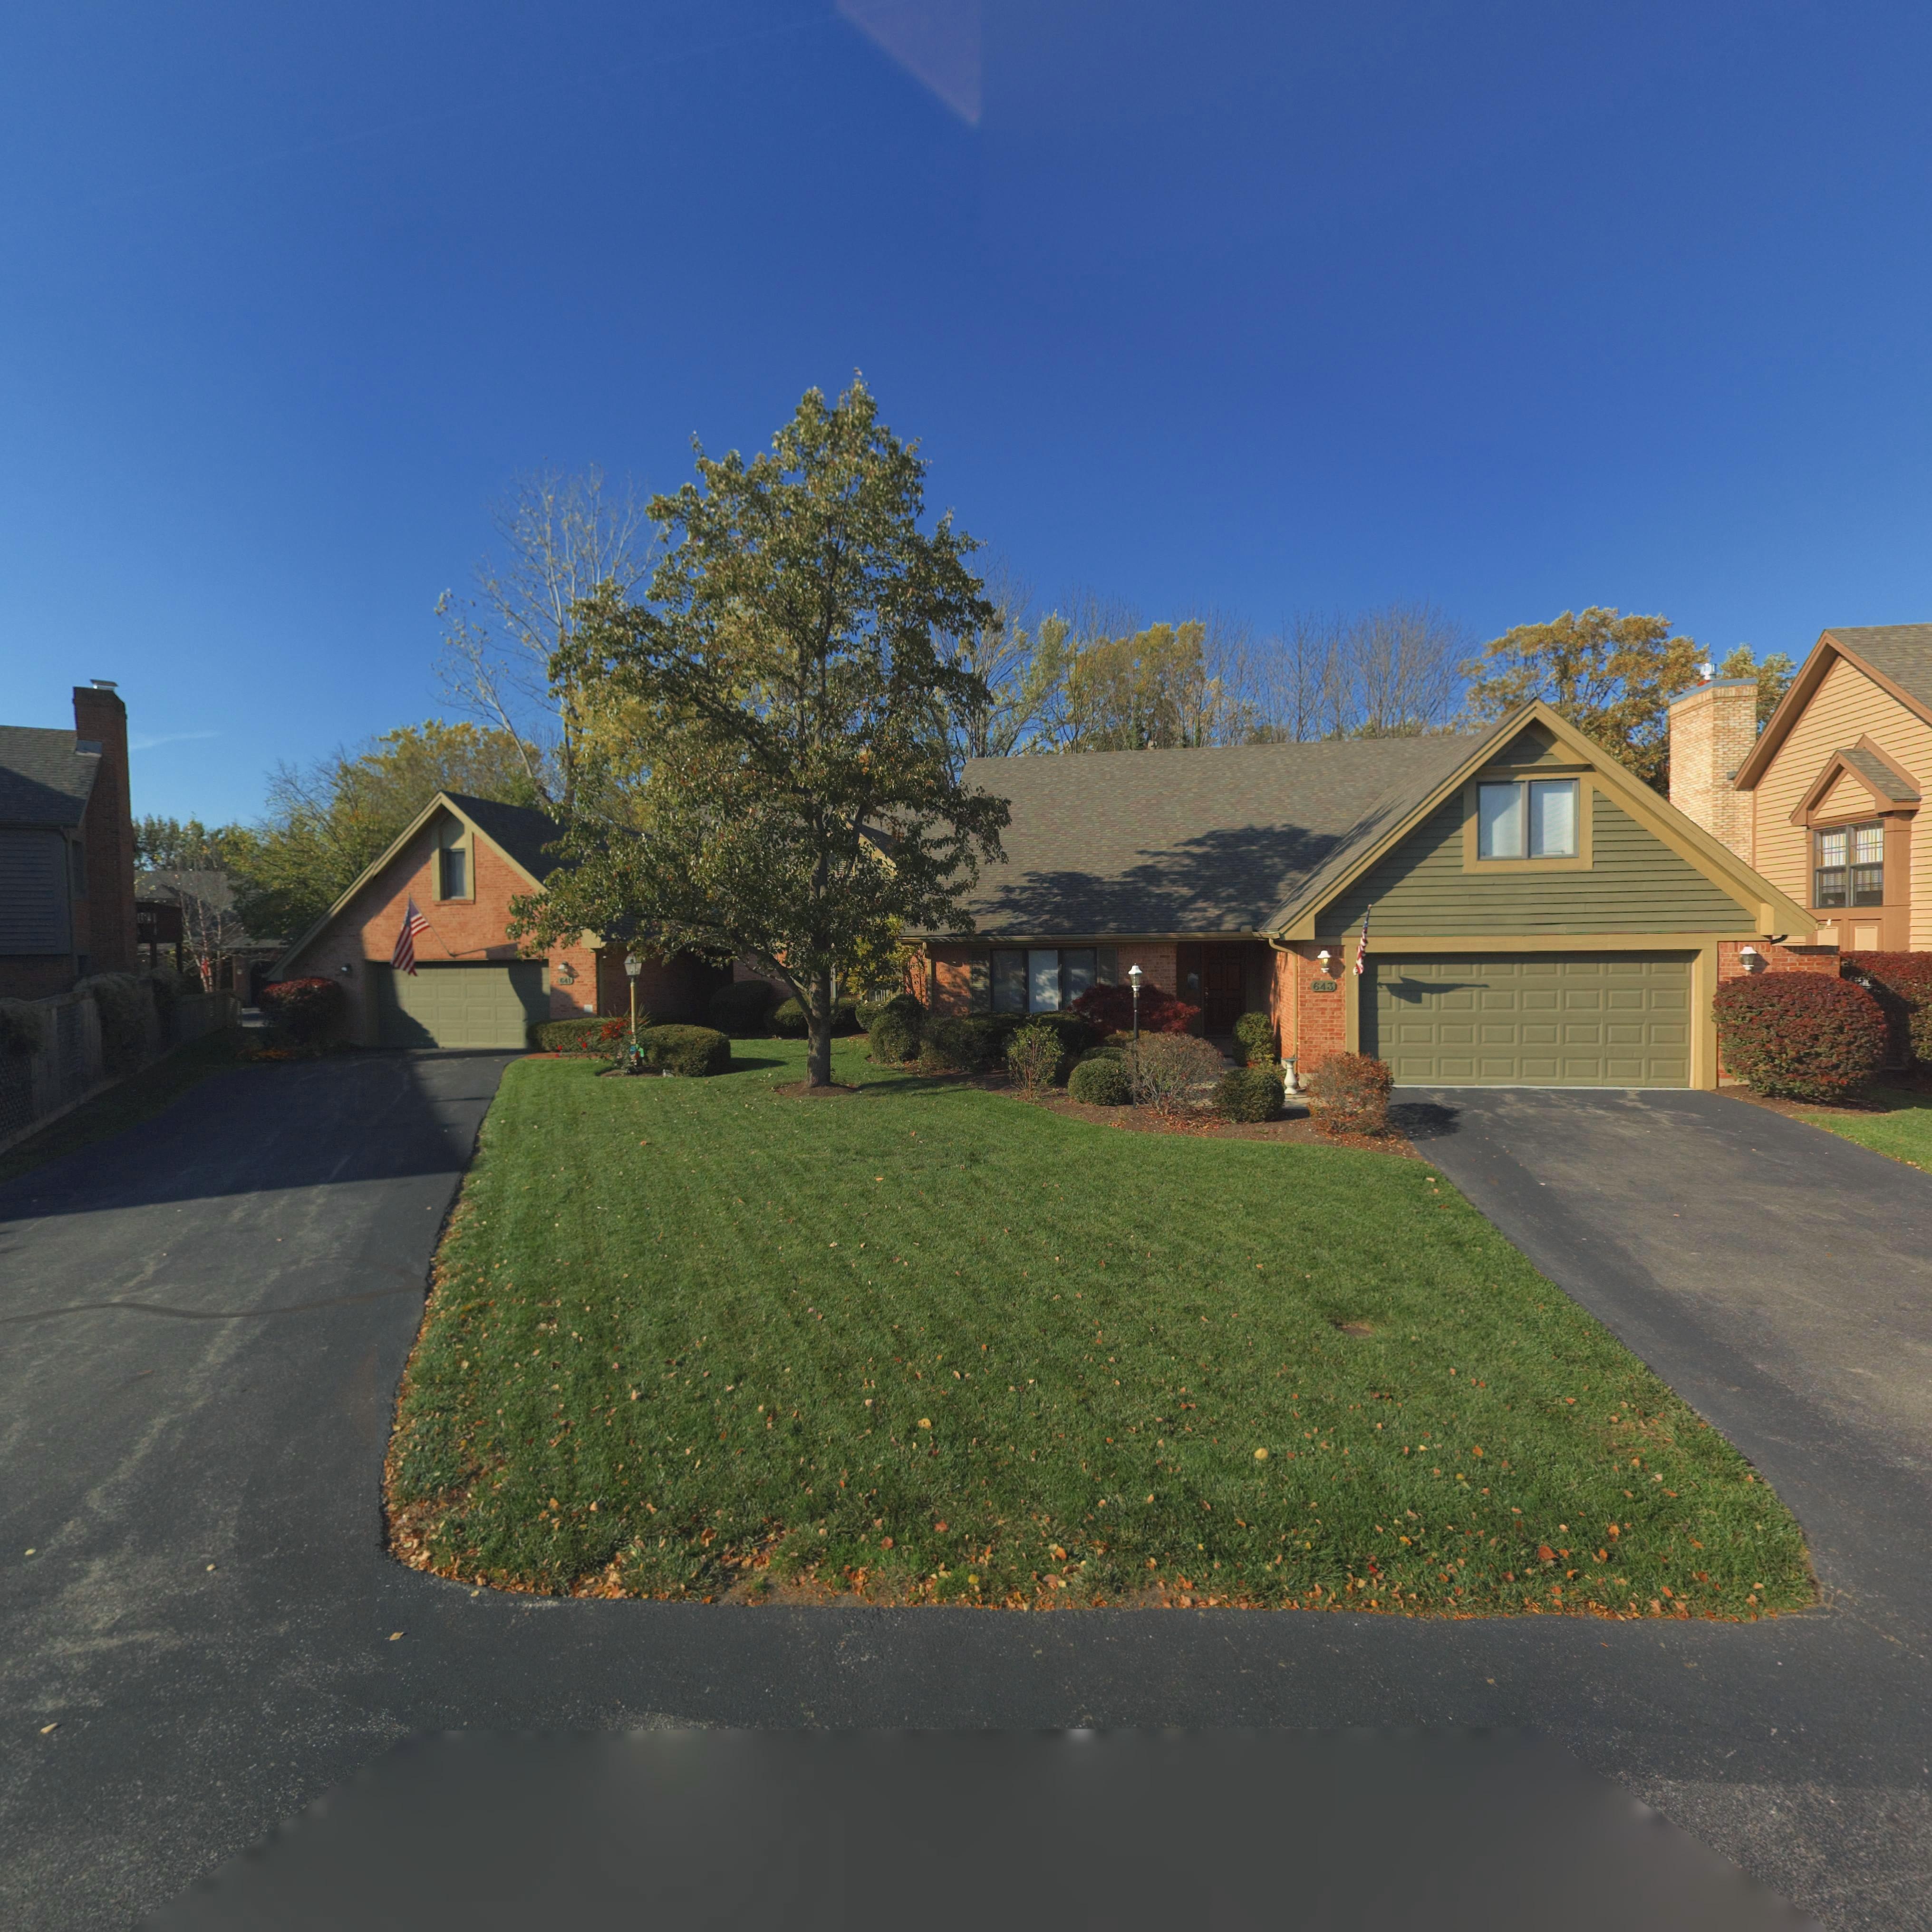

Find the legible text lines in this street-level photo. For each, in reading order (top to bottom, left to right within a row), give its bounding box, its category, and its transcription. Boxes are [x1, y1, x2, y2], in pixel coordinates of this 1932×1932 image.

[558, 977, 572, 985] StreetNumber: 641
[1312, 981, 1334, 992] StreetNumber: 643